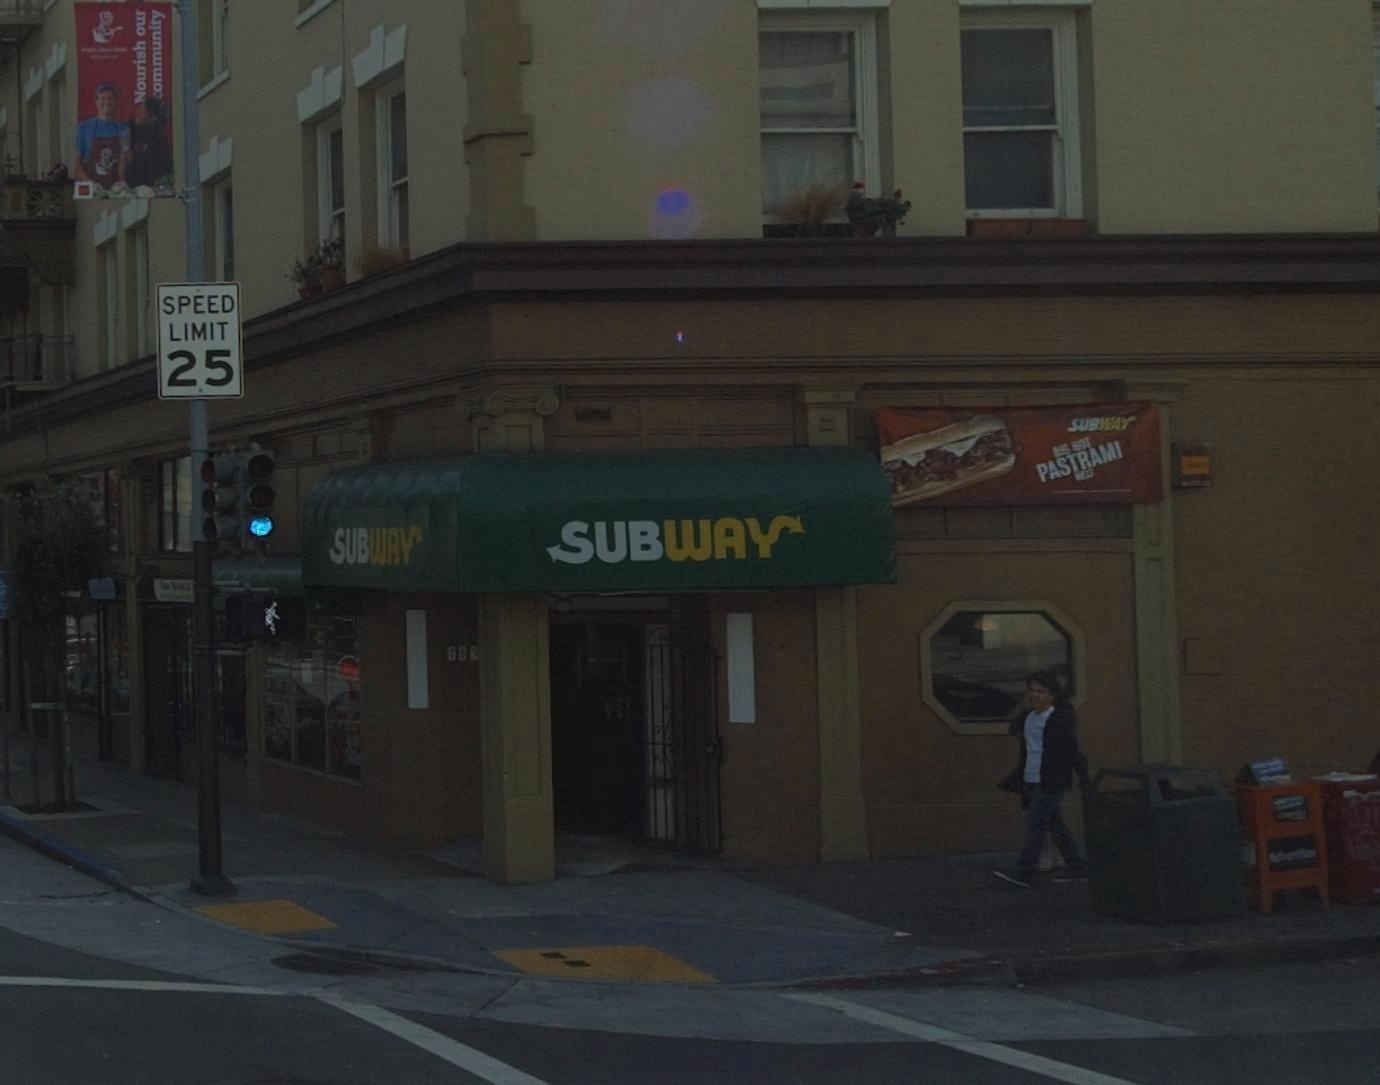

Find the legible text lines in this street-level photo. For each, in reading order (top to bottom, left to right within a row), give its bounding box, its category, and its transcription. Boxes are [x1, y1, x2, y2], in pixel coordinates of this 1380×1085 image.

[131, 5, 146, 107] None: Nourish our
[146, 6, 166, 102] None: community
[160, 293, 236, 317] None: SPEED
[166, 320, 232, 343] None: LIMIT
[163, 346, 237, 389] None: 25
[1064, 414, 1139, 434] None: SUBWAY
[1032, 438, 1127, 487] None: PASTRAMI
[325, 522, 426, 570] BusinessName: SUBWAY
[543, 514, 808, 567] BusinessName: SUBWAY
[447, 645, 479, 662] StreetNumber: 757